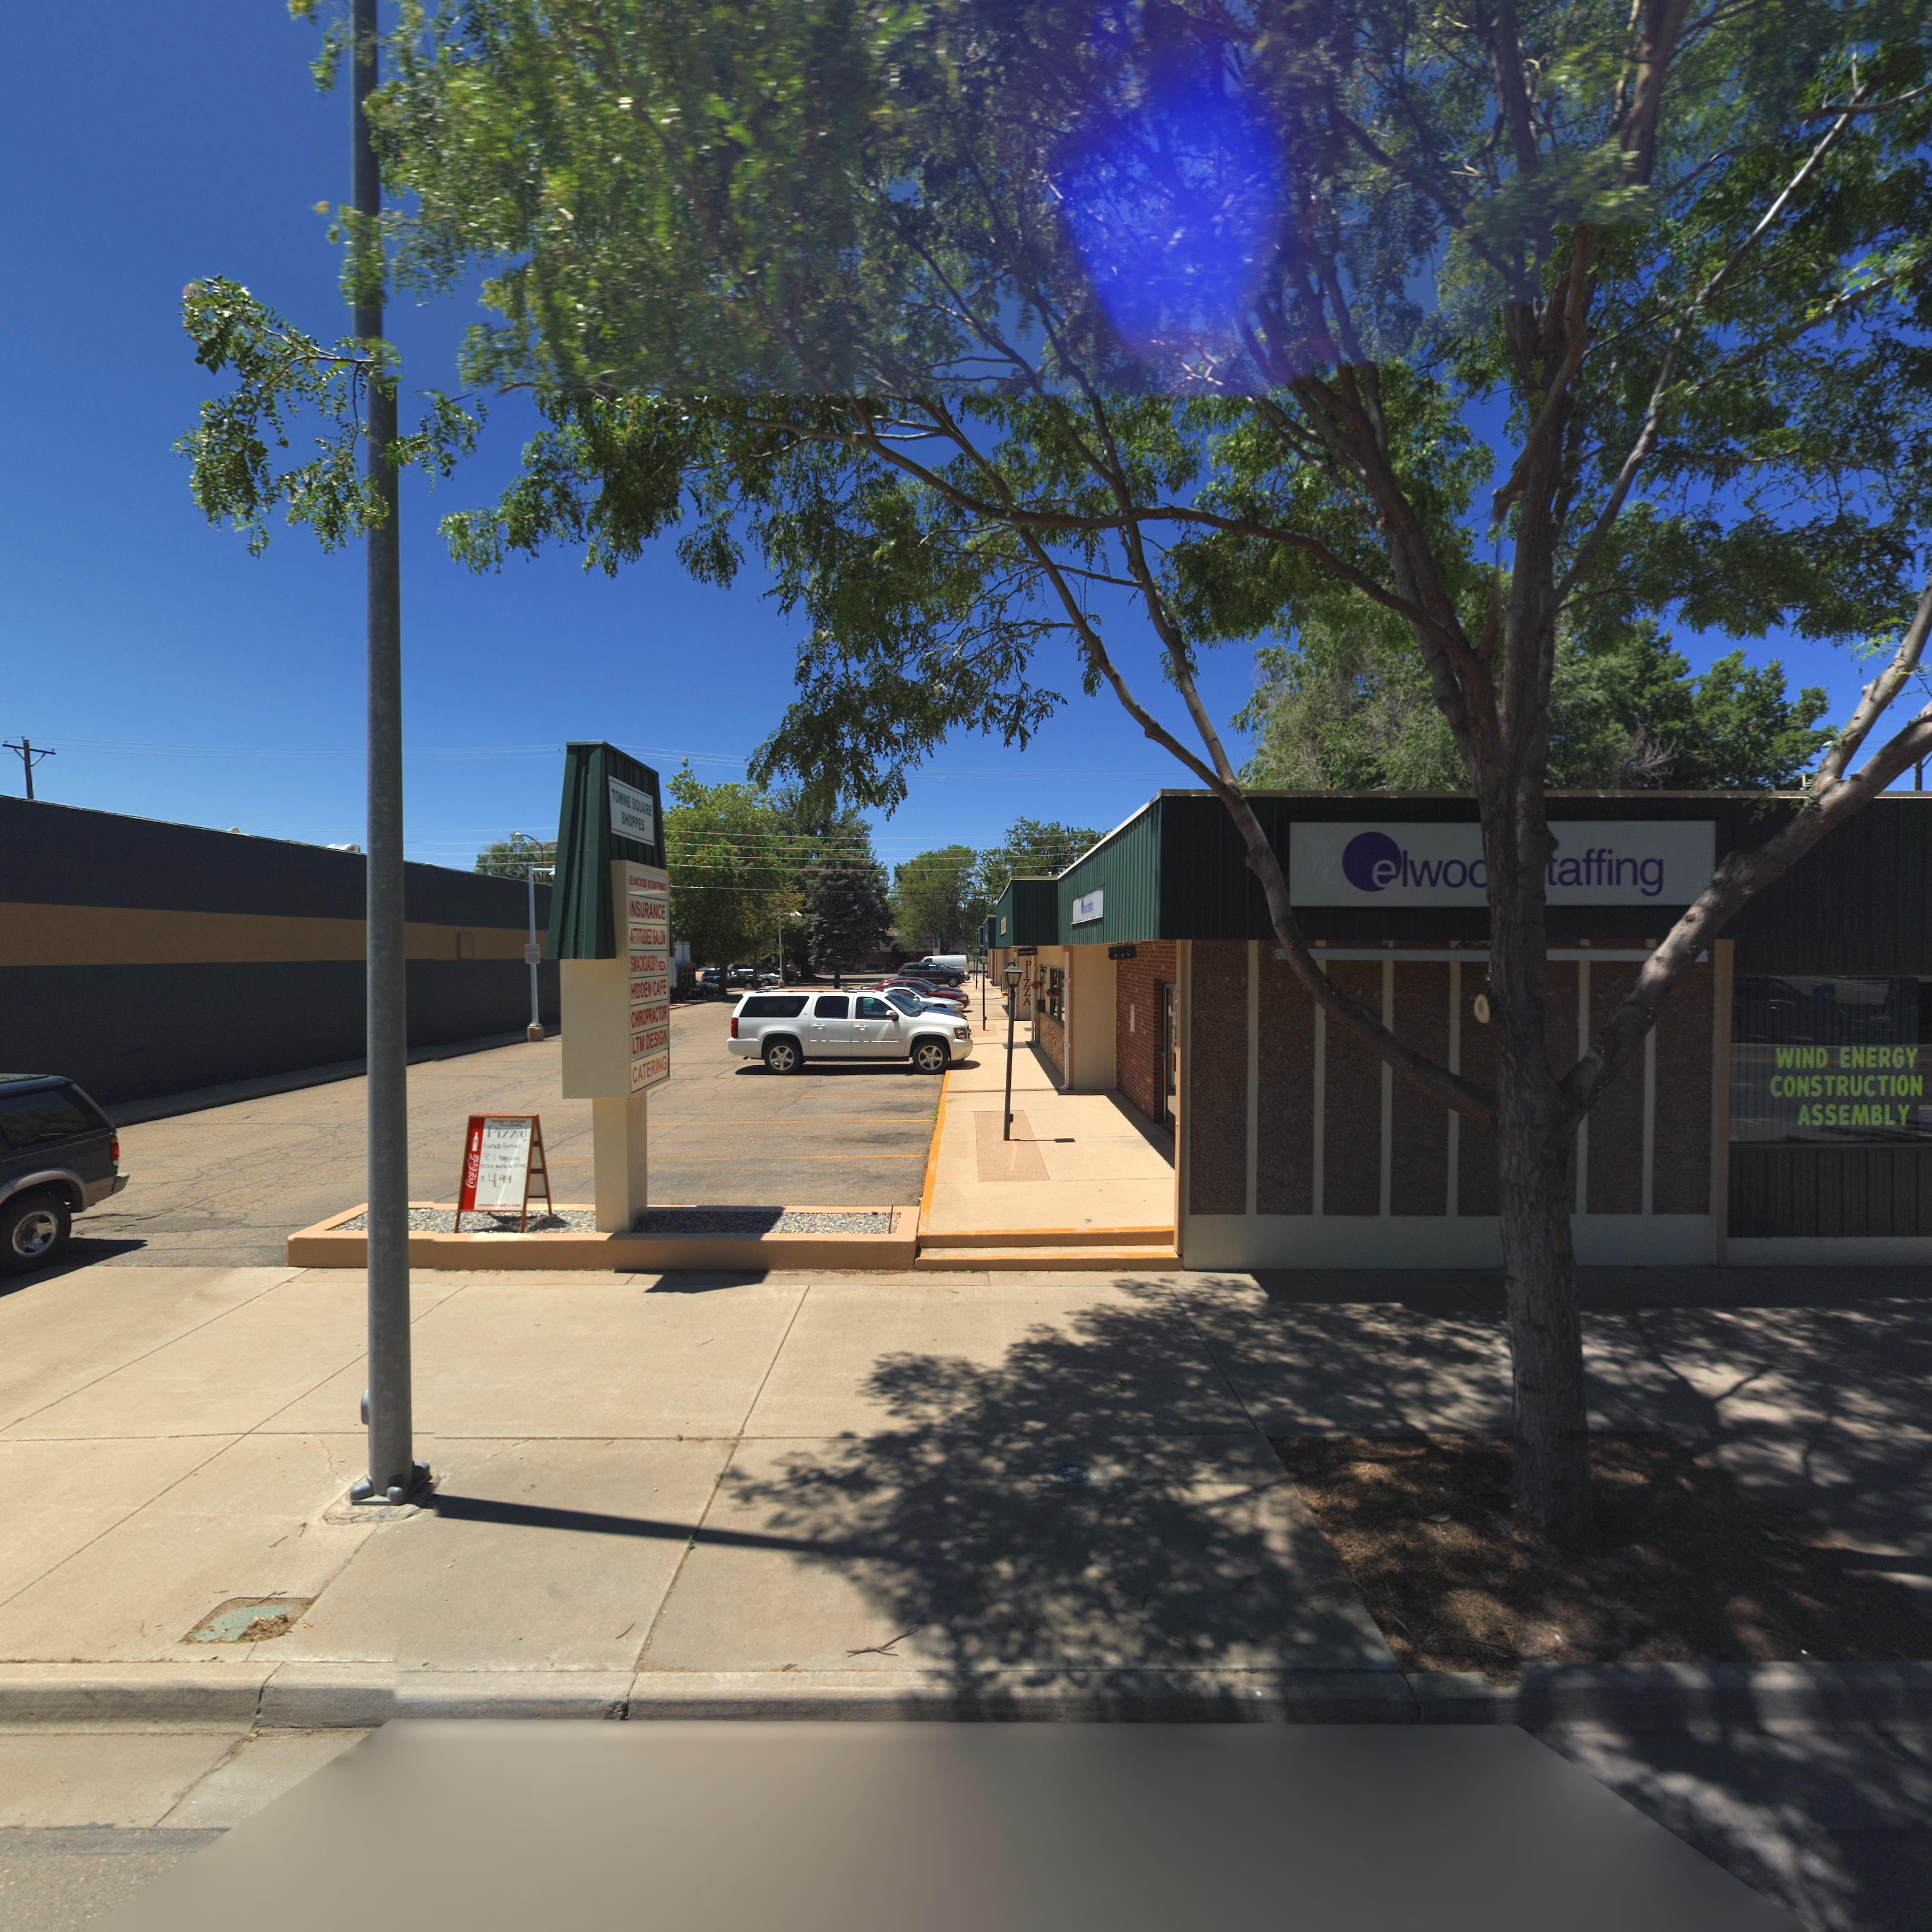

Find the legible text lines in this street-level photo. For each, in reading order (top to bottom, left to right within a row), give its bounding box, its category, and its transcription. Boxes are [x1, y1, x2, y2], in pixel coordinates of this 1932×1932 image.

[1370, 848, 1664, 898] BusinessName: elwoo* *taffing
[629, 875, 666, 891] BusinessName: ELWOOD STAFFING
[1081, 898, 1093, 915] BusinessName: A****ty
[630, 927, 666, 944] BusinessName: ATTITUDEZ SALO*
[630, 955, 667, 972] BusinessName: SMAC**ADDY P*ZZA
[631, 979, 666, 1000] BusinessName: HIDDEN CAFE
[1168, 1005, 1172, 1016] BusinessName: A
[632, 1028, 667, 1054] BusinessName: LTM DESIGN